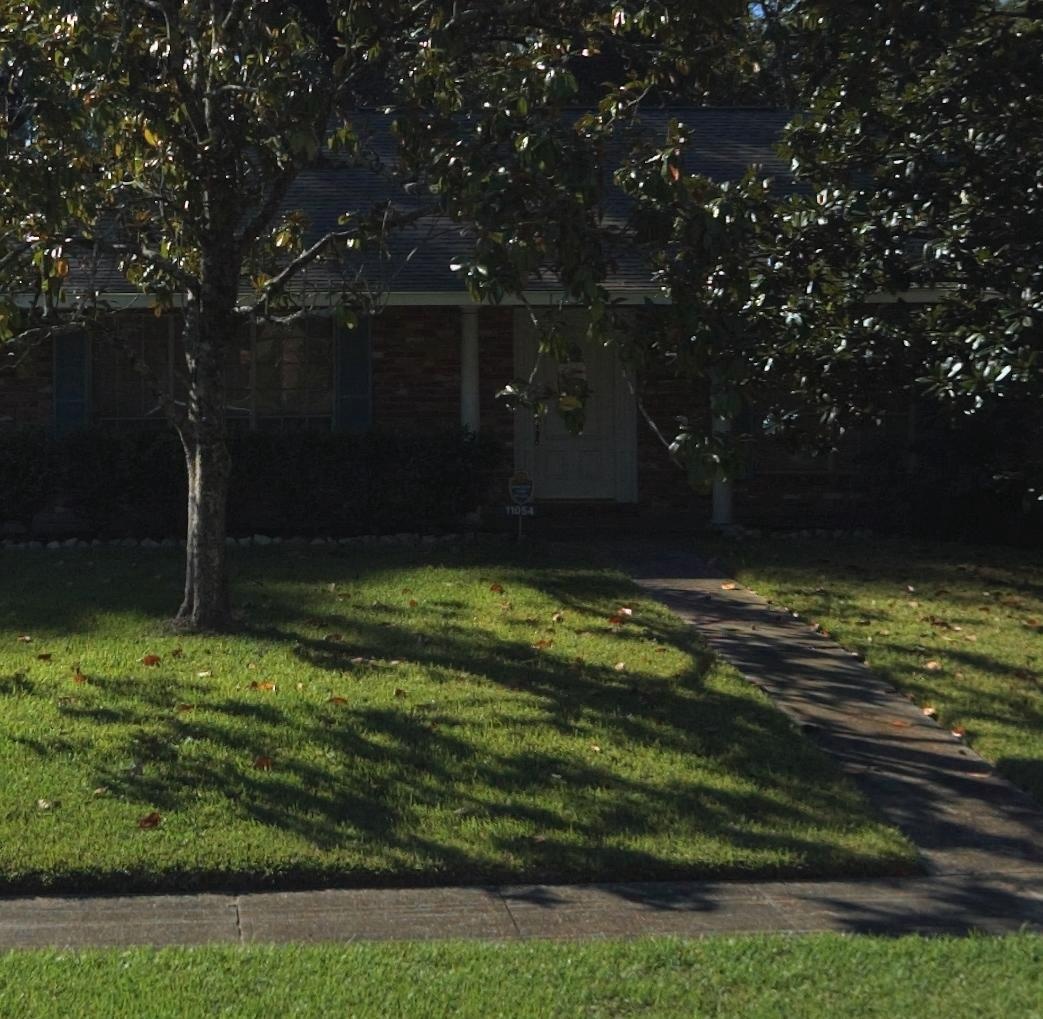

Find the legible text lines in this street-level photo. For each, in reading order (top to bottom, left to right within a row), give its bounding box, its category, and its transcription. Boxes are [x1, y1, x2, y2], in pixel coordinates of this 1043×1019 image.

[503, 504, 536, 517] StreetNumber: 11054